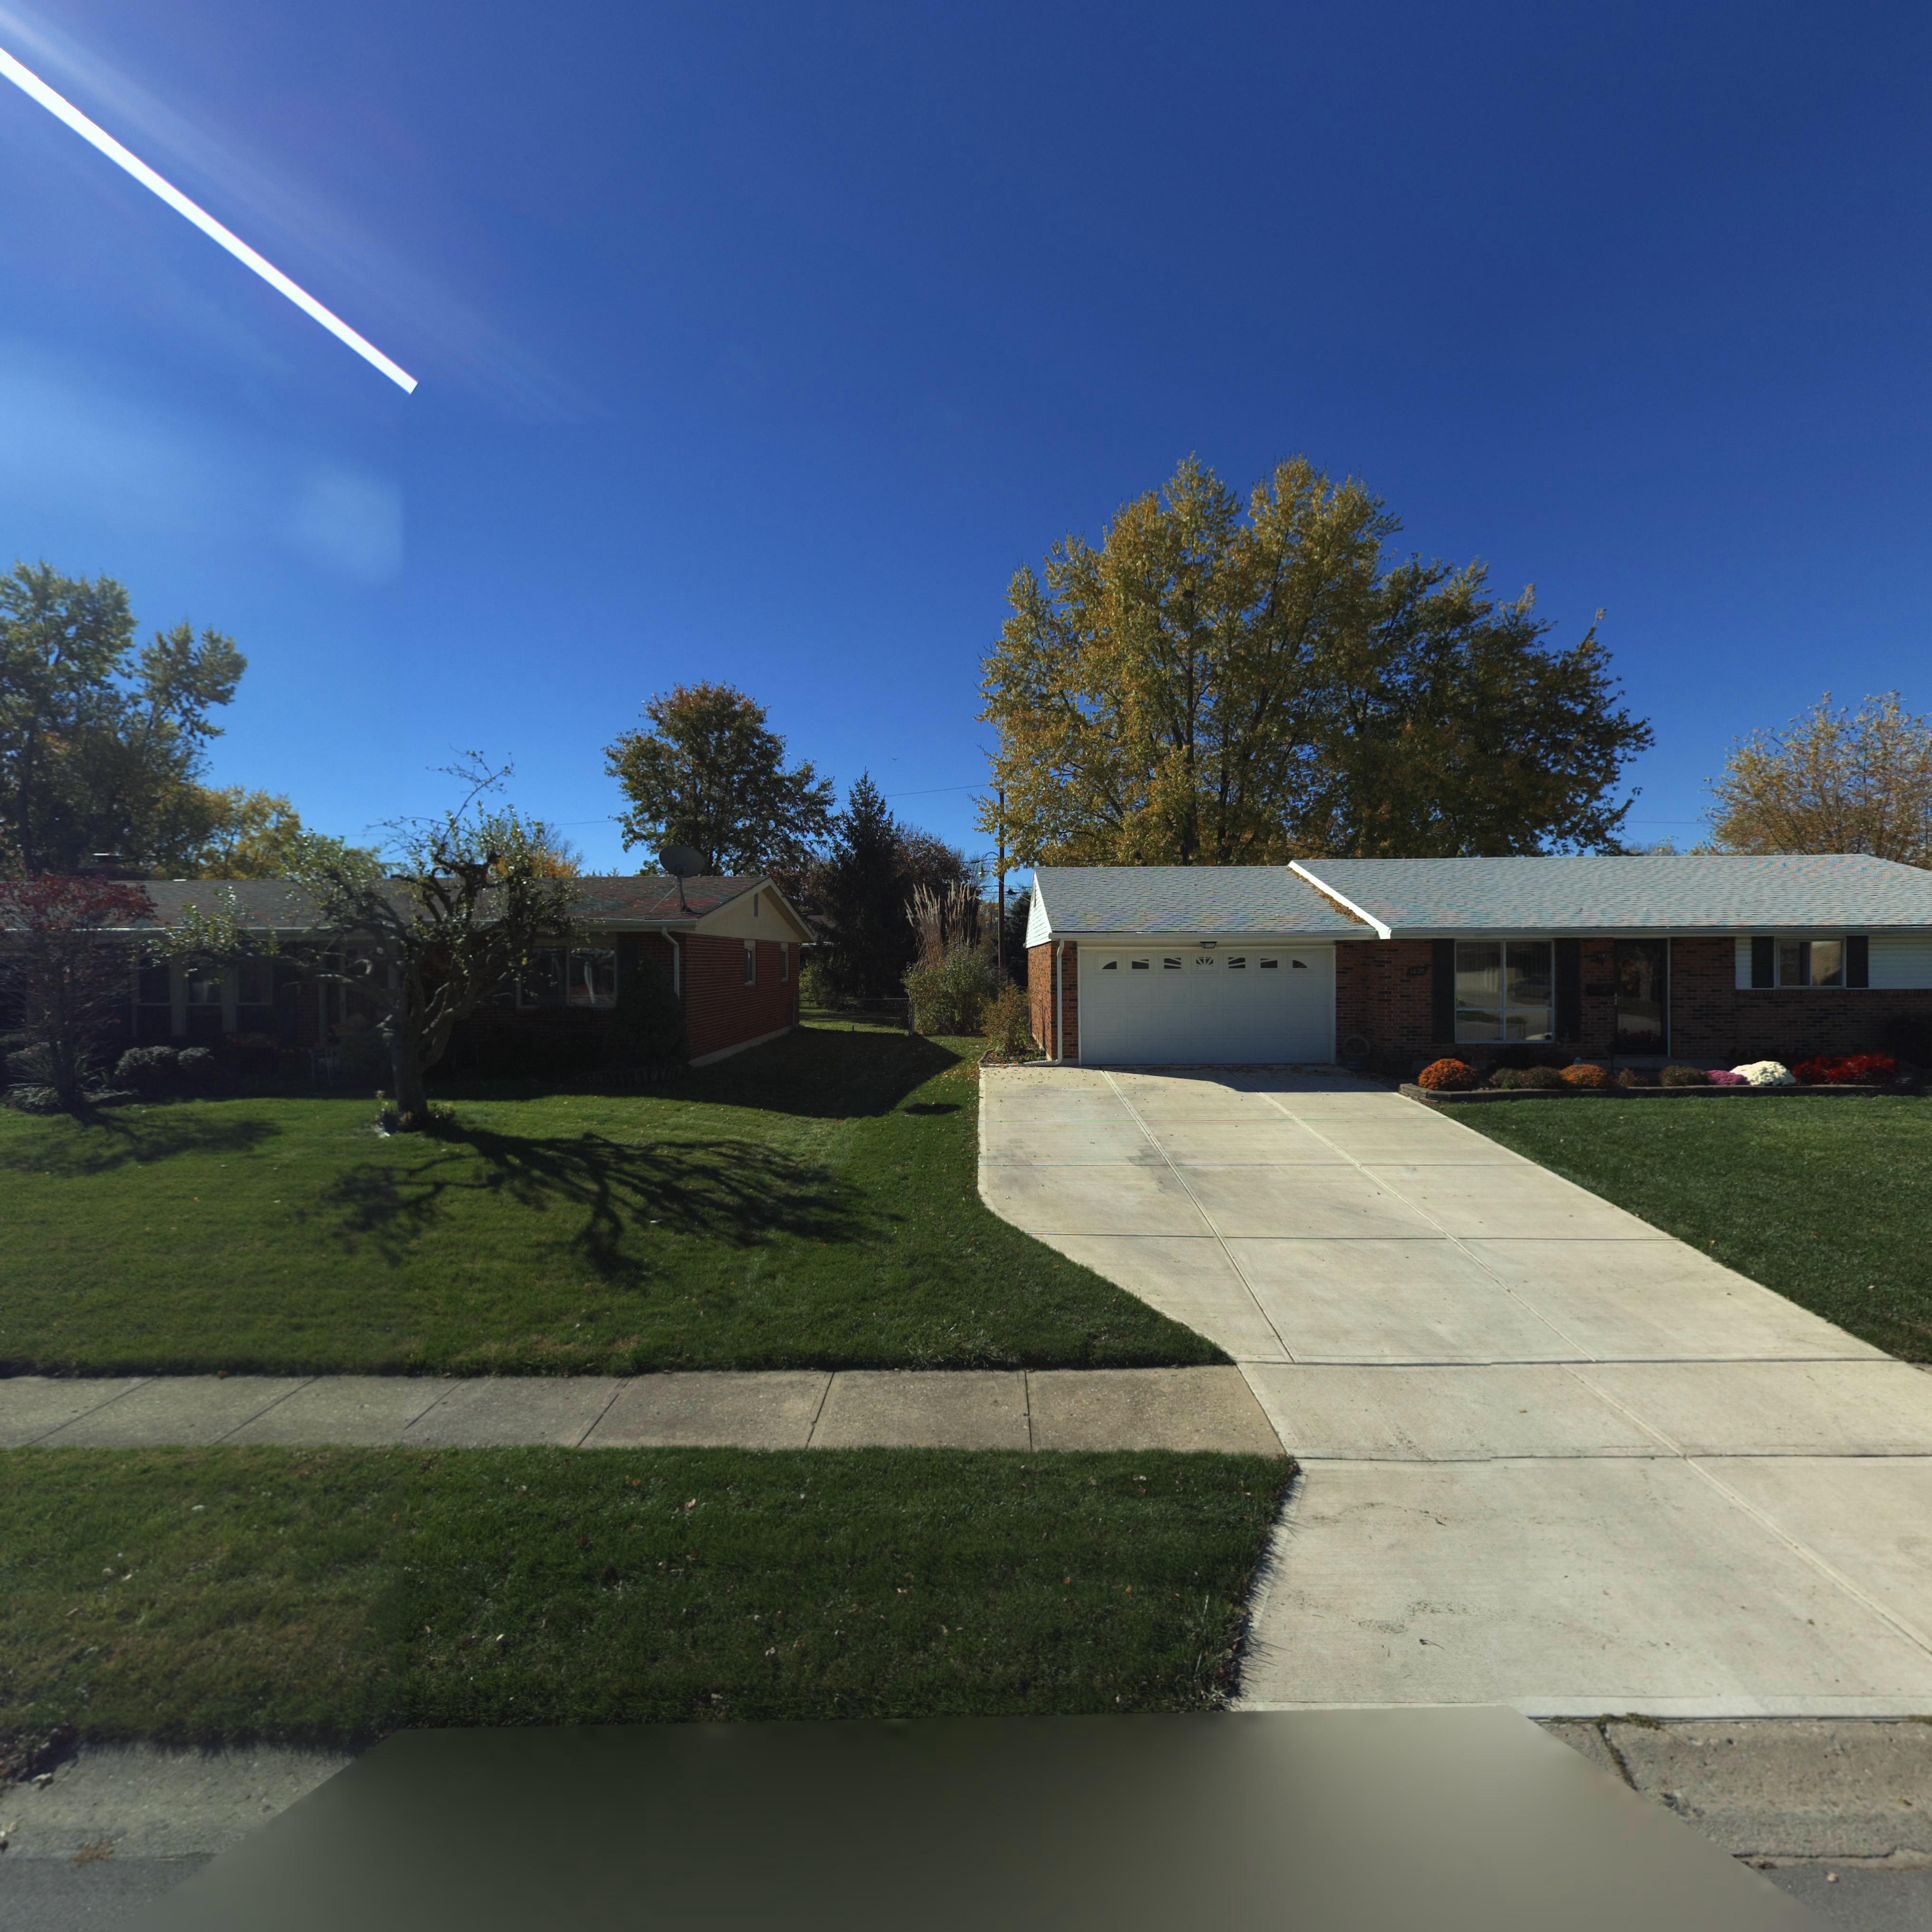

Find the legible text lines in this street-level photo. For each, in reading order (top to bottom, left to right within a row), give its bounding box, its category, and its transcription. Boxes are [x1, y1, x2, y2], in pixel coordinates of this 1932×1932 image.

[1410, 967, 1426, 975] StreetNumber: 1029